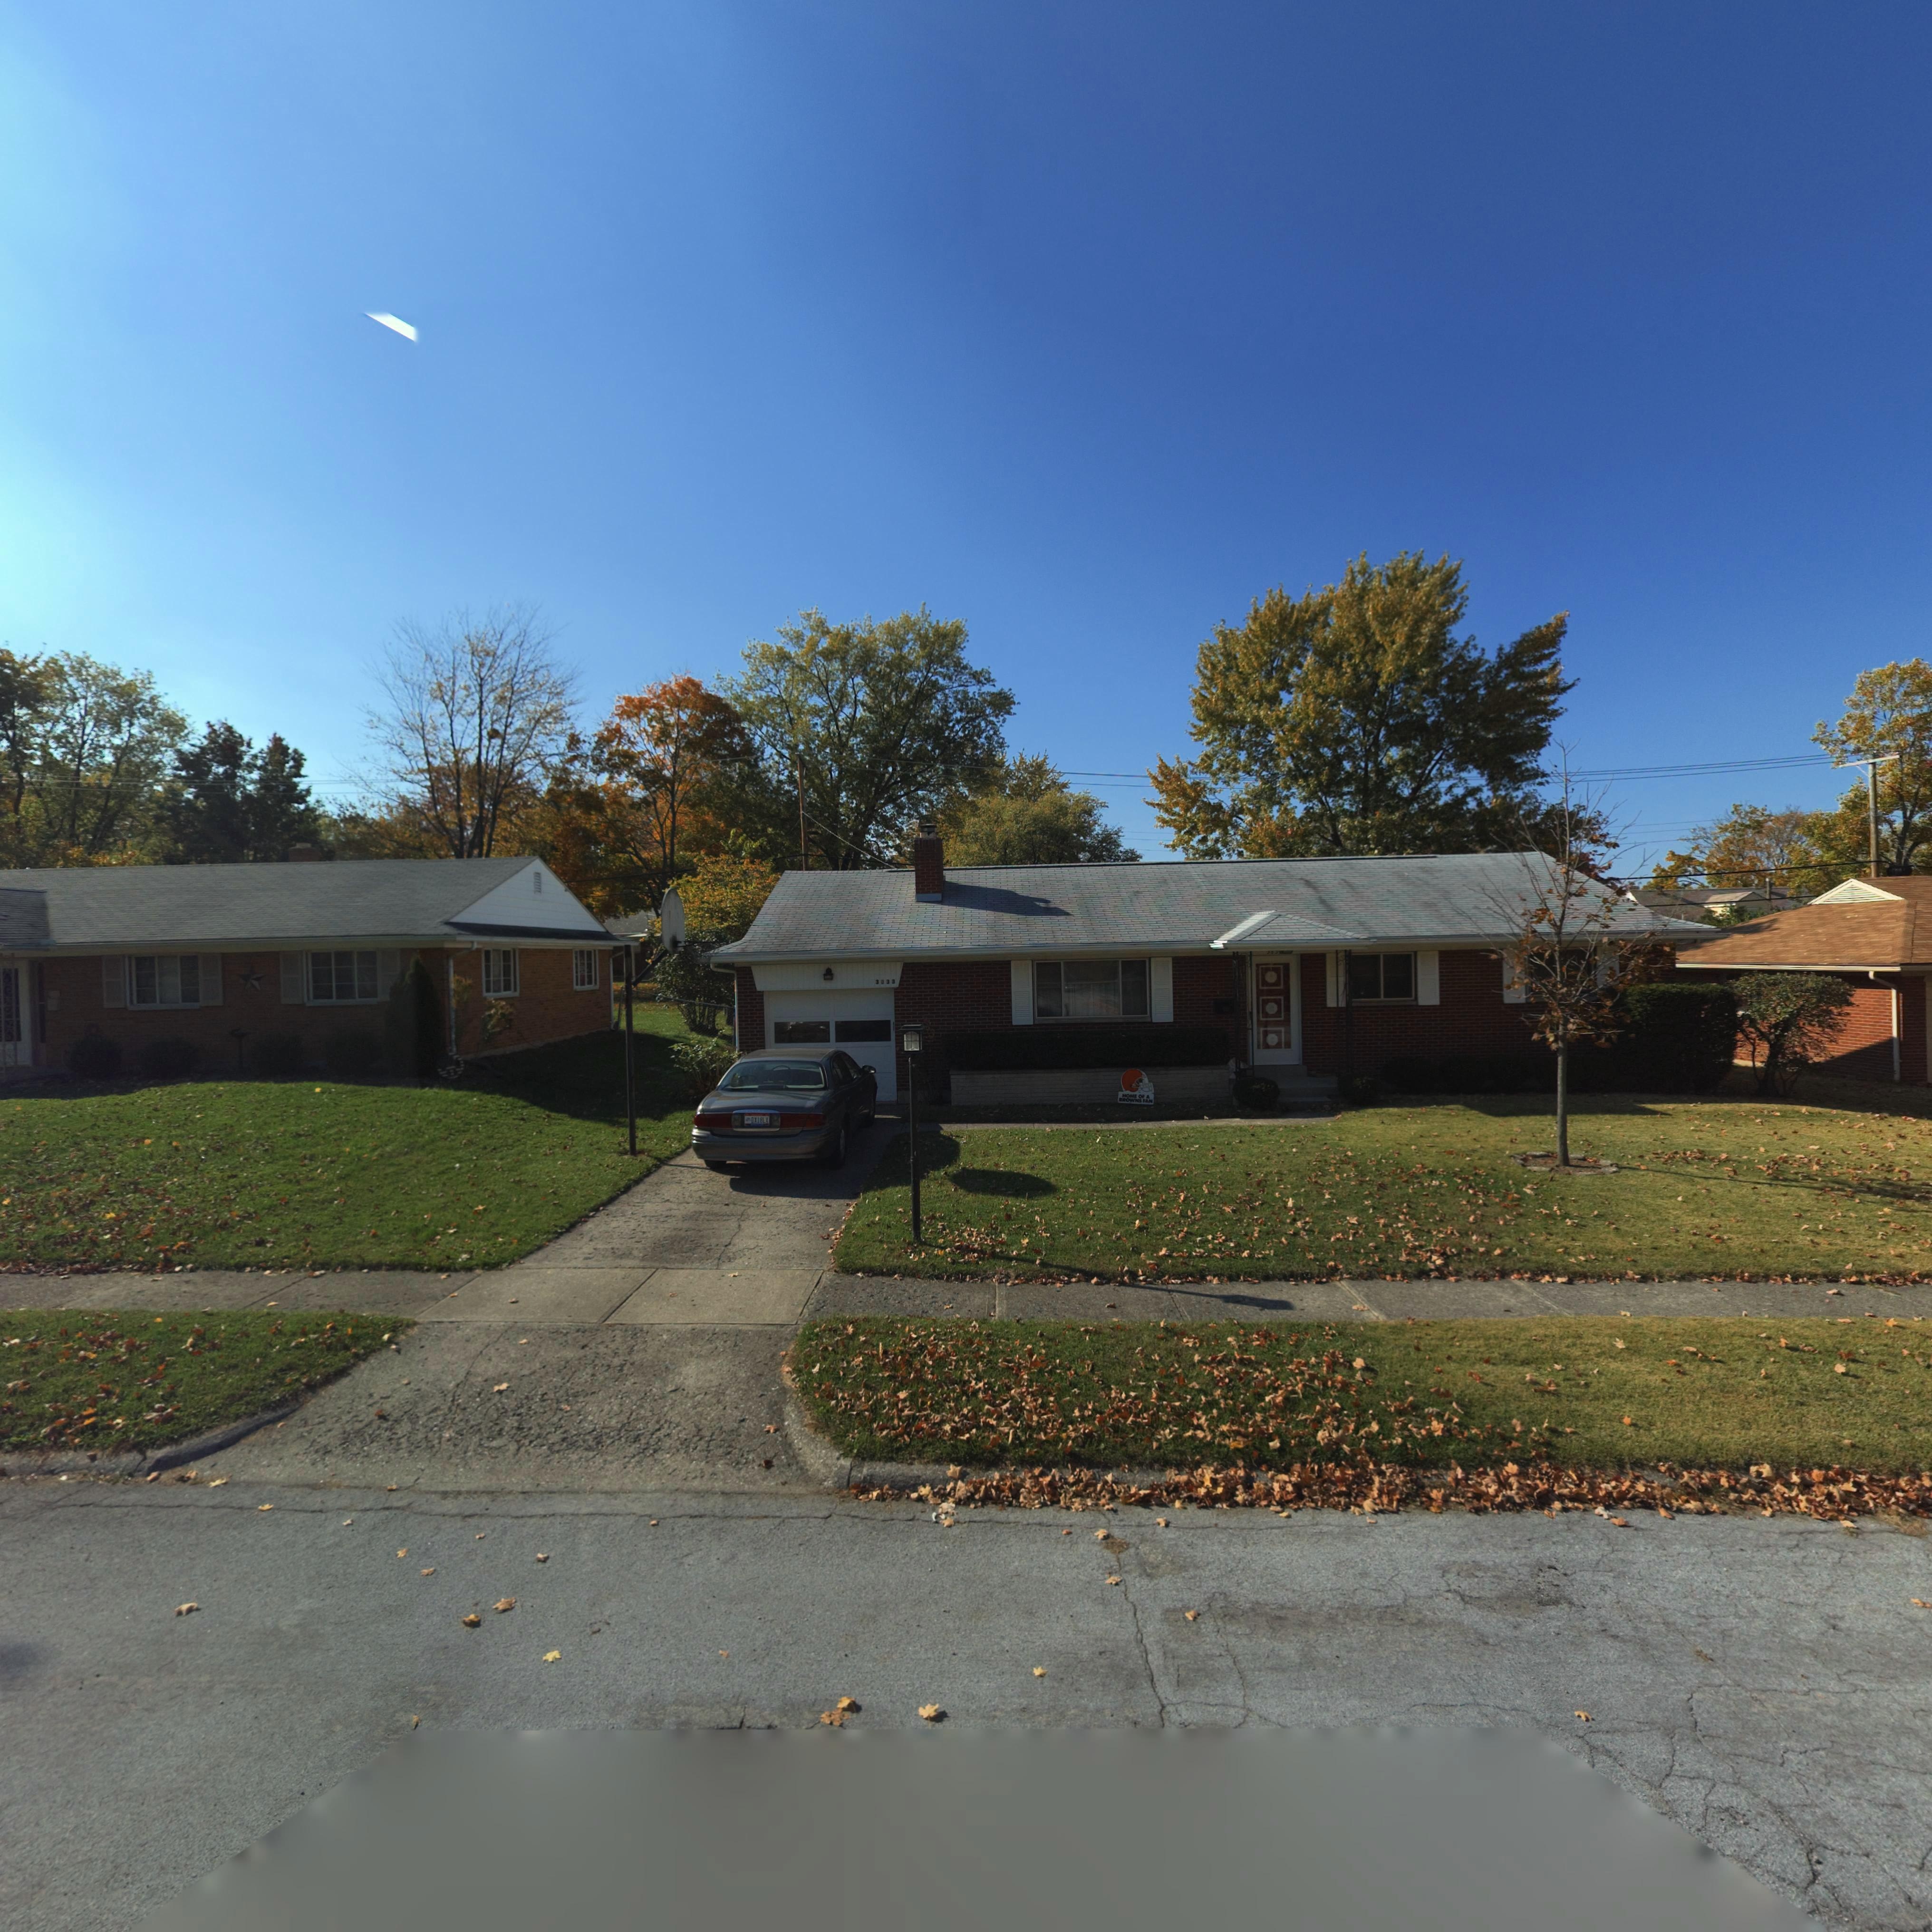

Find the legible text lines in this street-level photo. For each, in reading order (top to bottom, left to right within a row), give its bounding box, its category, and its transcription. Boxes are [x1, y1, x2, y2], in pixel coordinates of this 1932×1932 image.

[874, 978, 896, 986] StreetNumber: 3*33
[1121, 1093, 1151, 1100] None: HOME OF A
[1118, 1097, 1154, 1104] None: BROWN FAN
[750, 1116, 769, 1124] None: DX1*LX